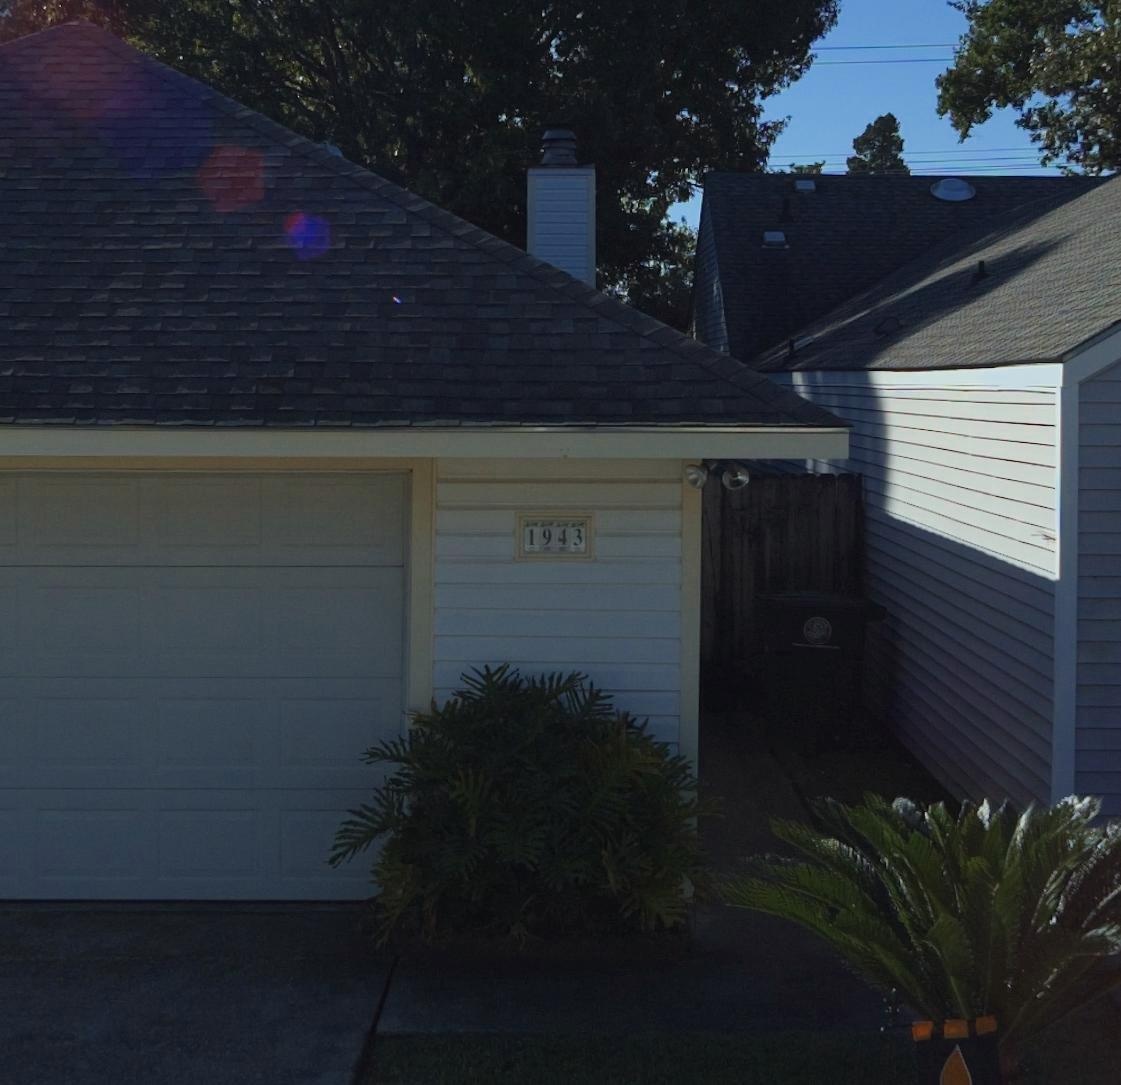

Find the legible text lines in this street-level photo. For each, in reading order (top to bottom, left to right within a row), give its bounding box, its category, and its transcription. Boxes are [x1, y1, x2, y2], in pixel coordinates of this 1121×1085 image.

[525, 526, 585, 548] StreetNumber: 1943